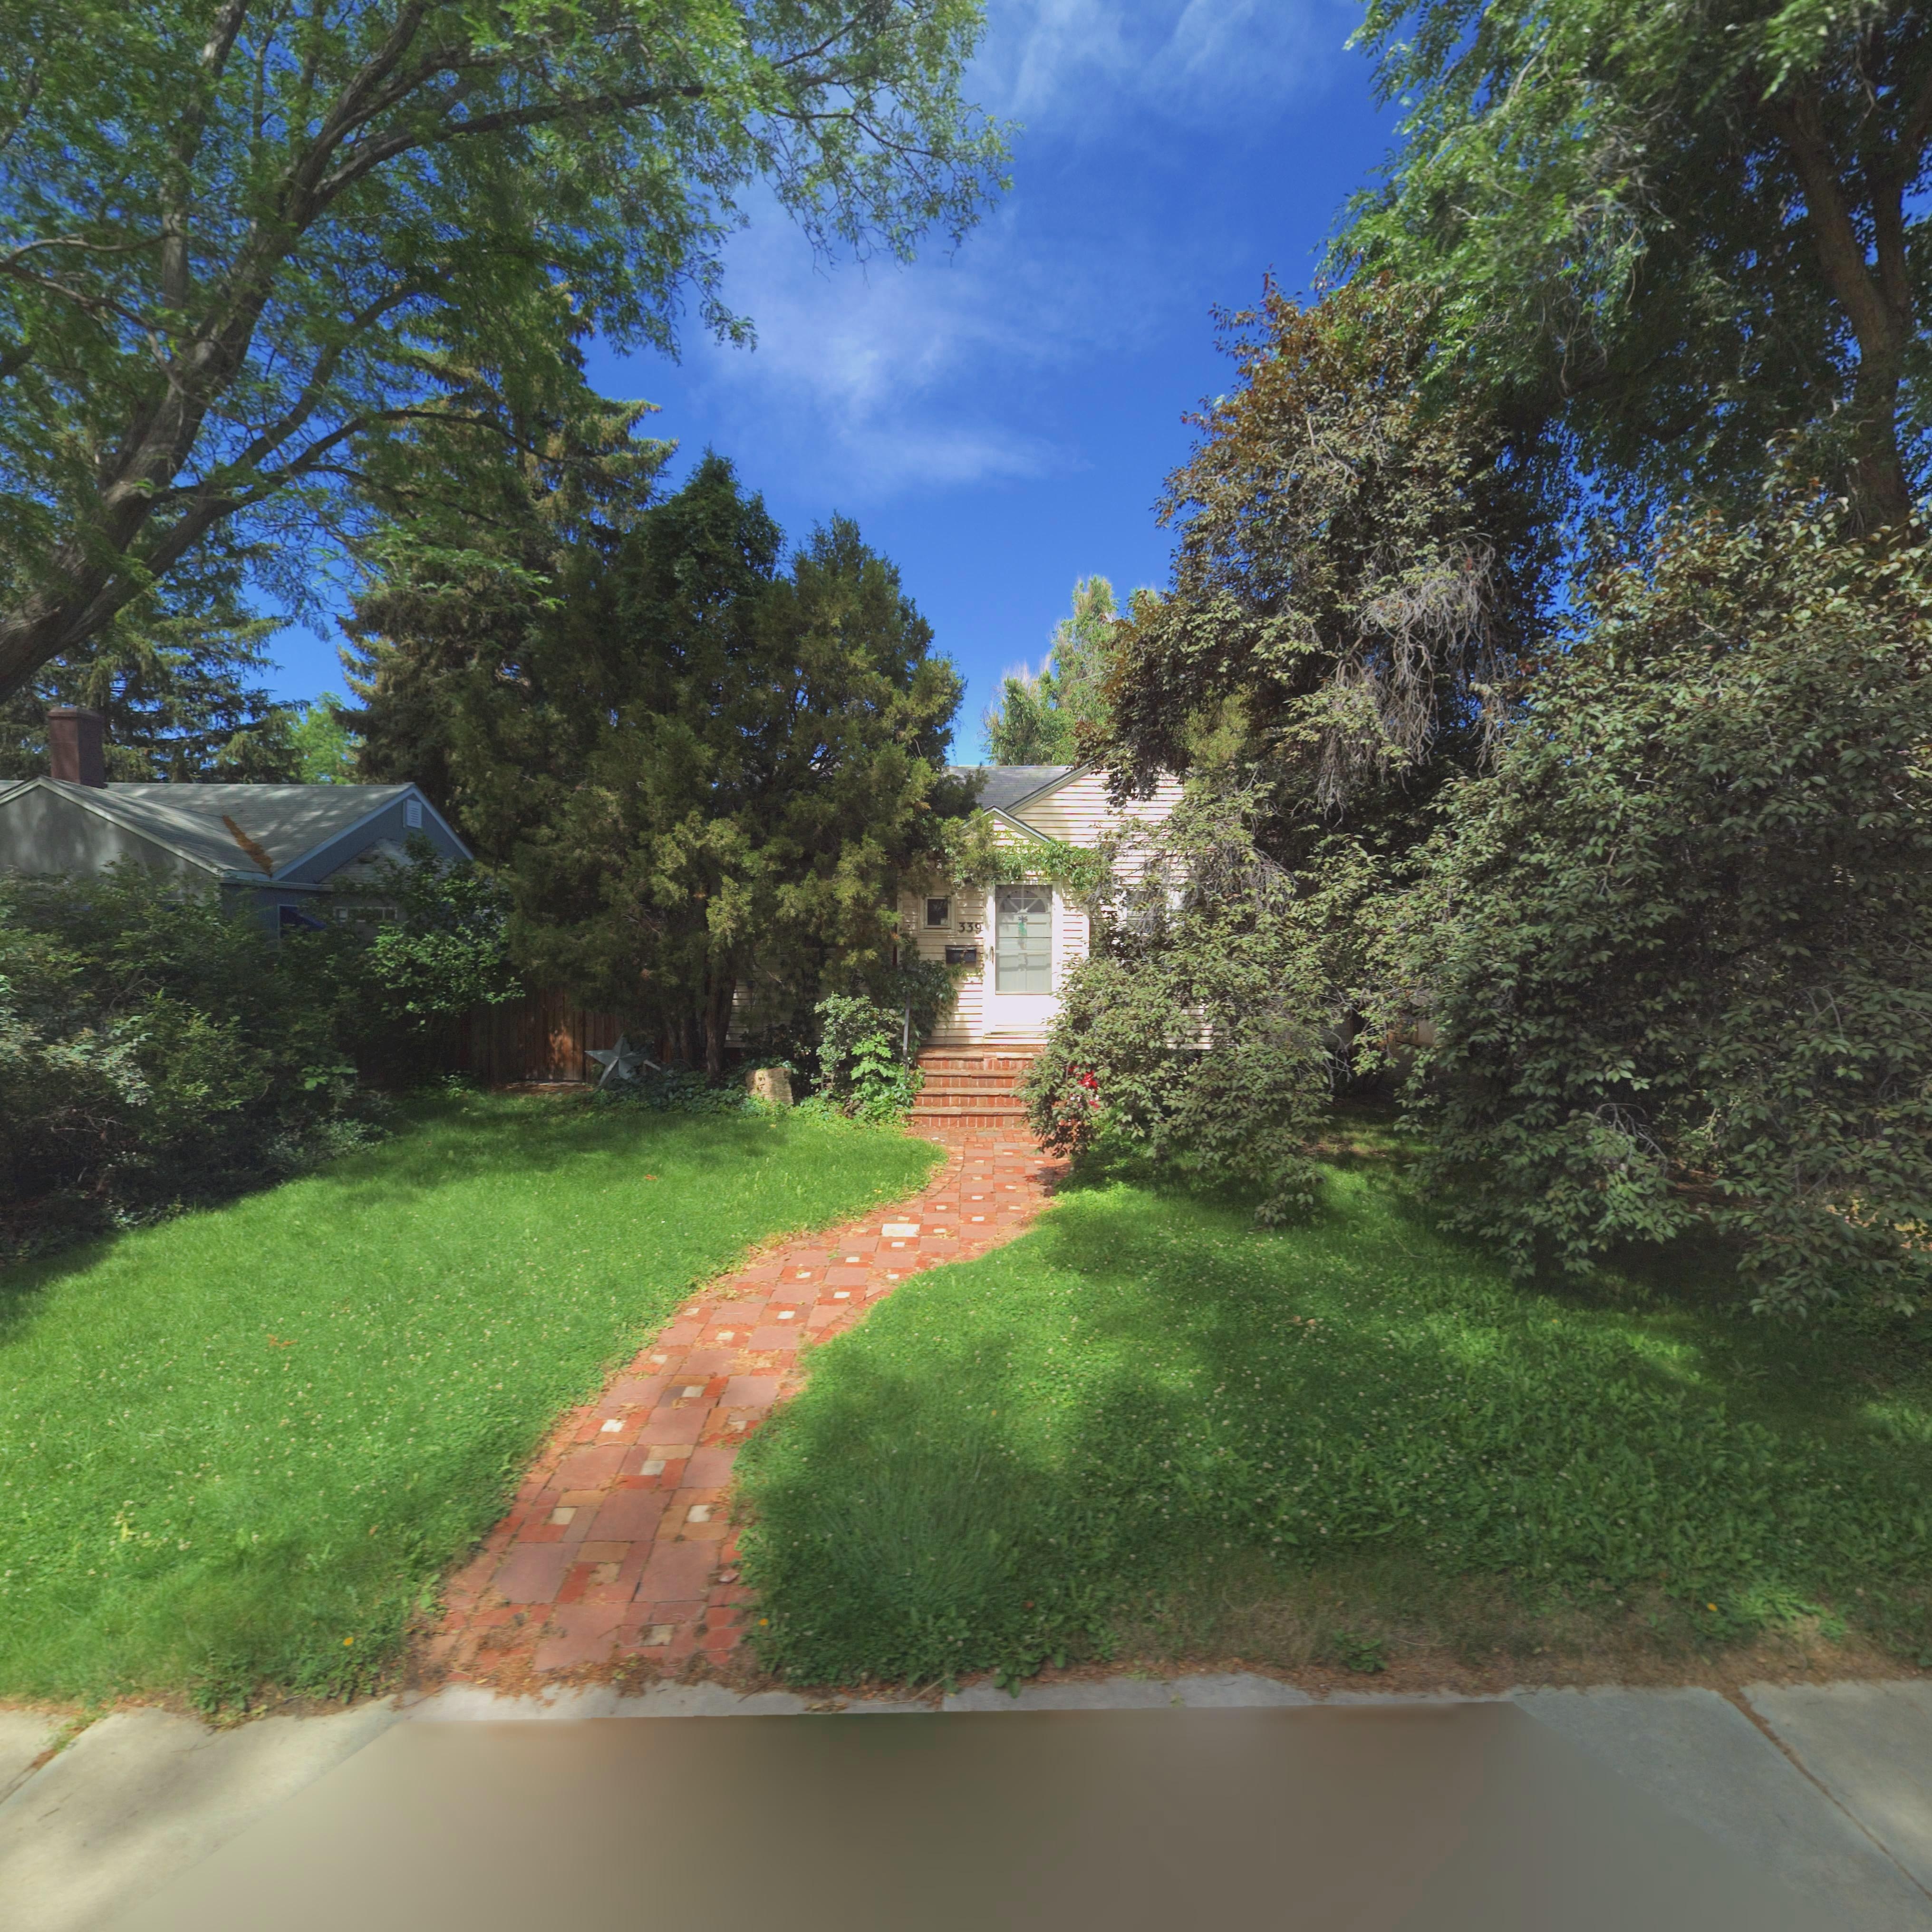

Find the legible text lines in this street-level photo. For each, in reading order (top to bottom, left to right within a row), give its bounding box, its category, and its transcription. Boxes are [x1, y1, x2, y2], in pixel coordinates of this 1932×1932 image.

[958, 921, 981, 934] StreetNumber: 339